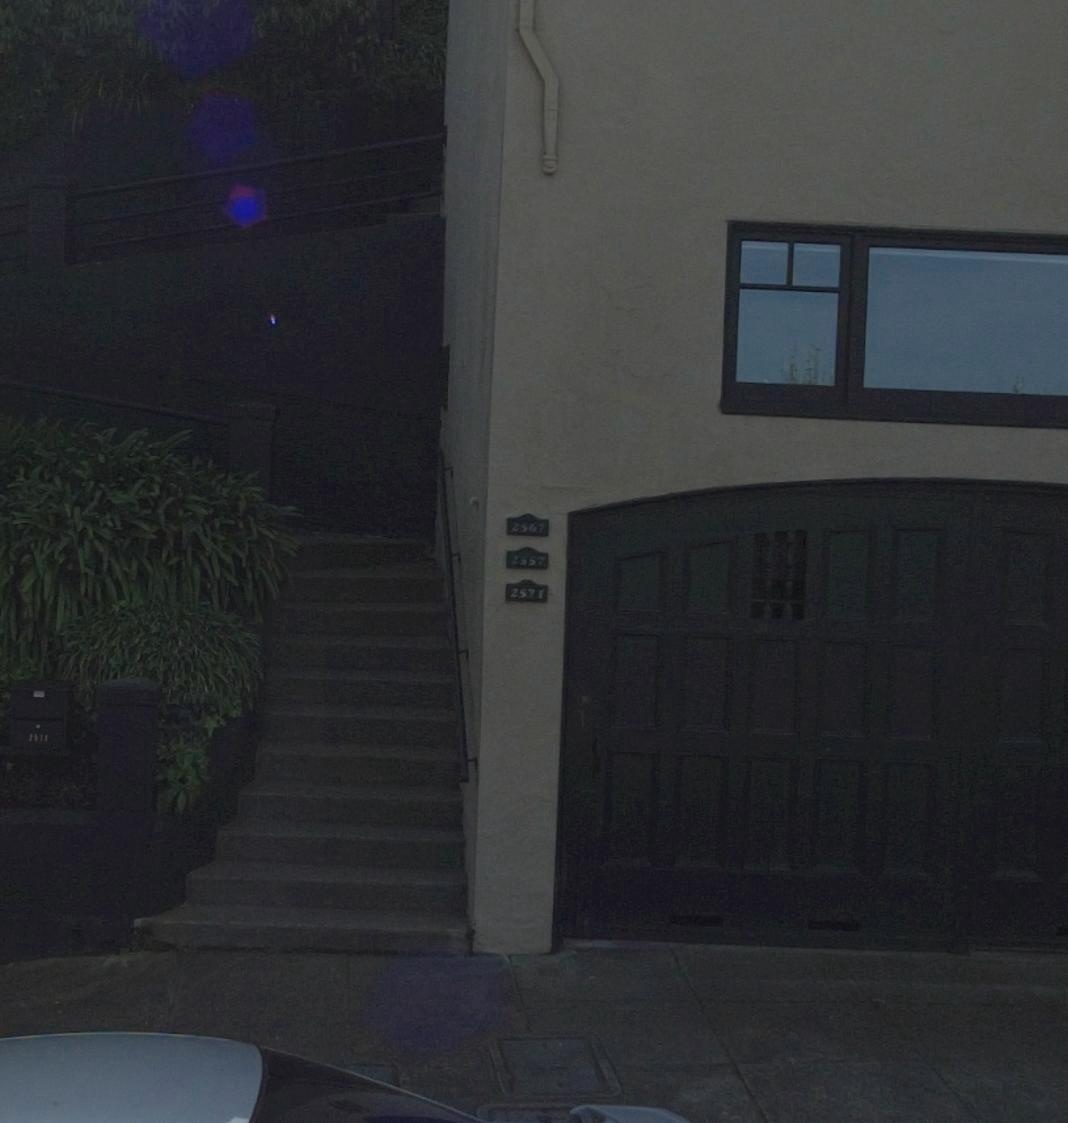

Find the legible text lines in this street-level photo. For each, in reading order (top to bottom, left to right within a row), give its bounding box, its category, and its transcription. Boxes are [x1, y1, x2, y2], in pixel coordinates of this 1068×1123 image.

[507, 521, 549, 535] StreetNumber: 2567
[508, 553, 548, 568] StreetNumber: 2***
[507, 585, 546, 601] StreetNumber: 2571
[26, 731, 50, 744] StreetNumber: 75*1